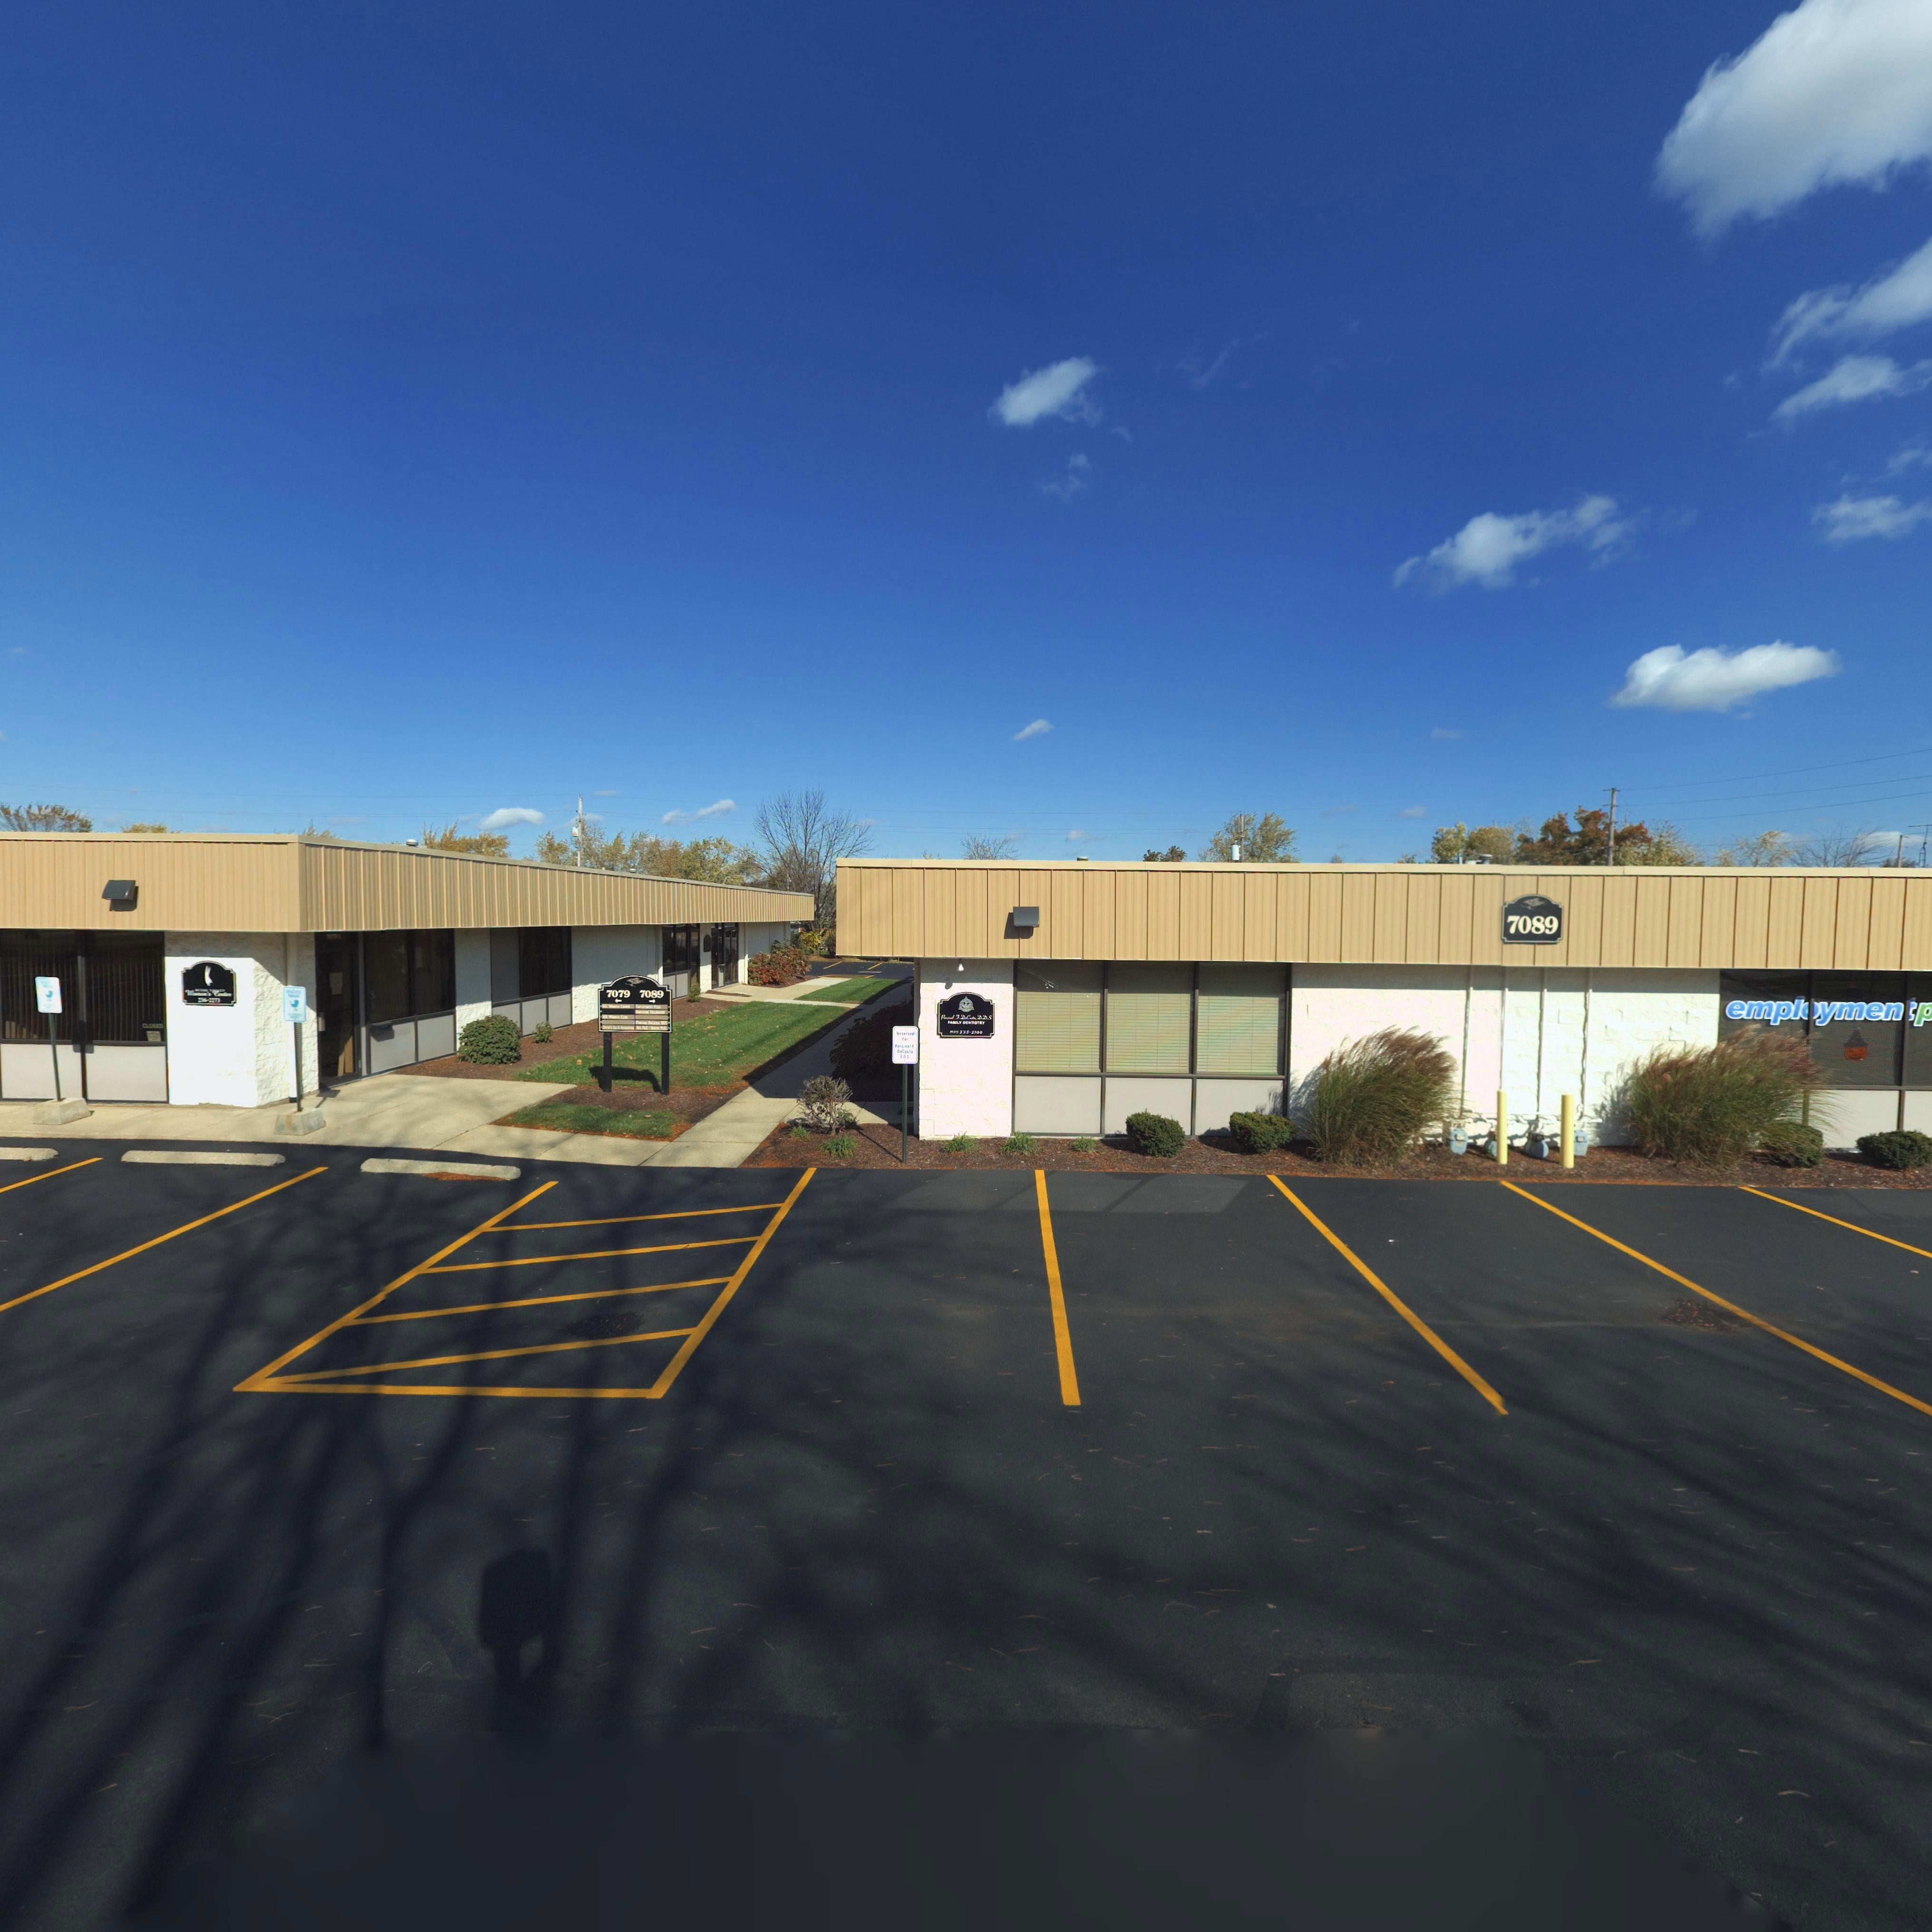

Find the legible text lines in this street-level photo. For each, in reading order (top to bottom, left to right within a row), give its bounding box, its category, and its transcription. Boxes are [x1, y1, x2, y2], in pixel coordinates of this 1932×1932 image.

[1506, 914, 1560, 937] StreetNumber: 7089
[605, 988, 632, 999] StreetNumber: 7079
[638, 988, 665, 1000] StreetNumber: 7089